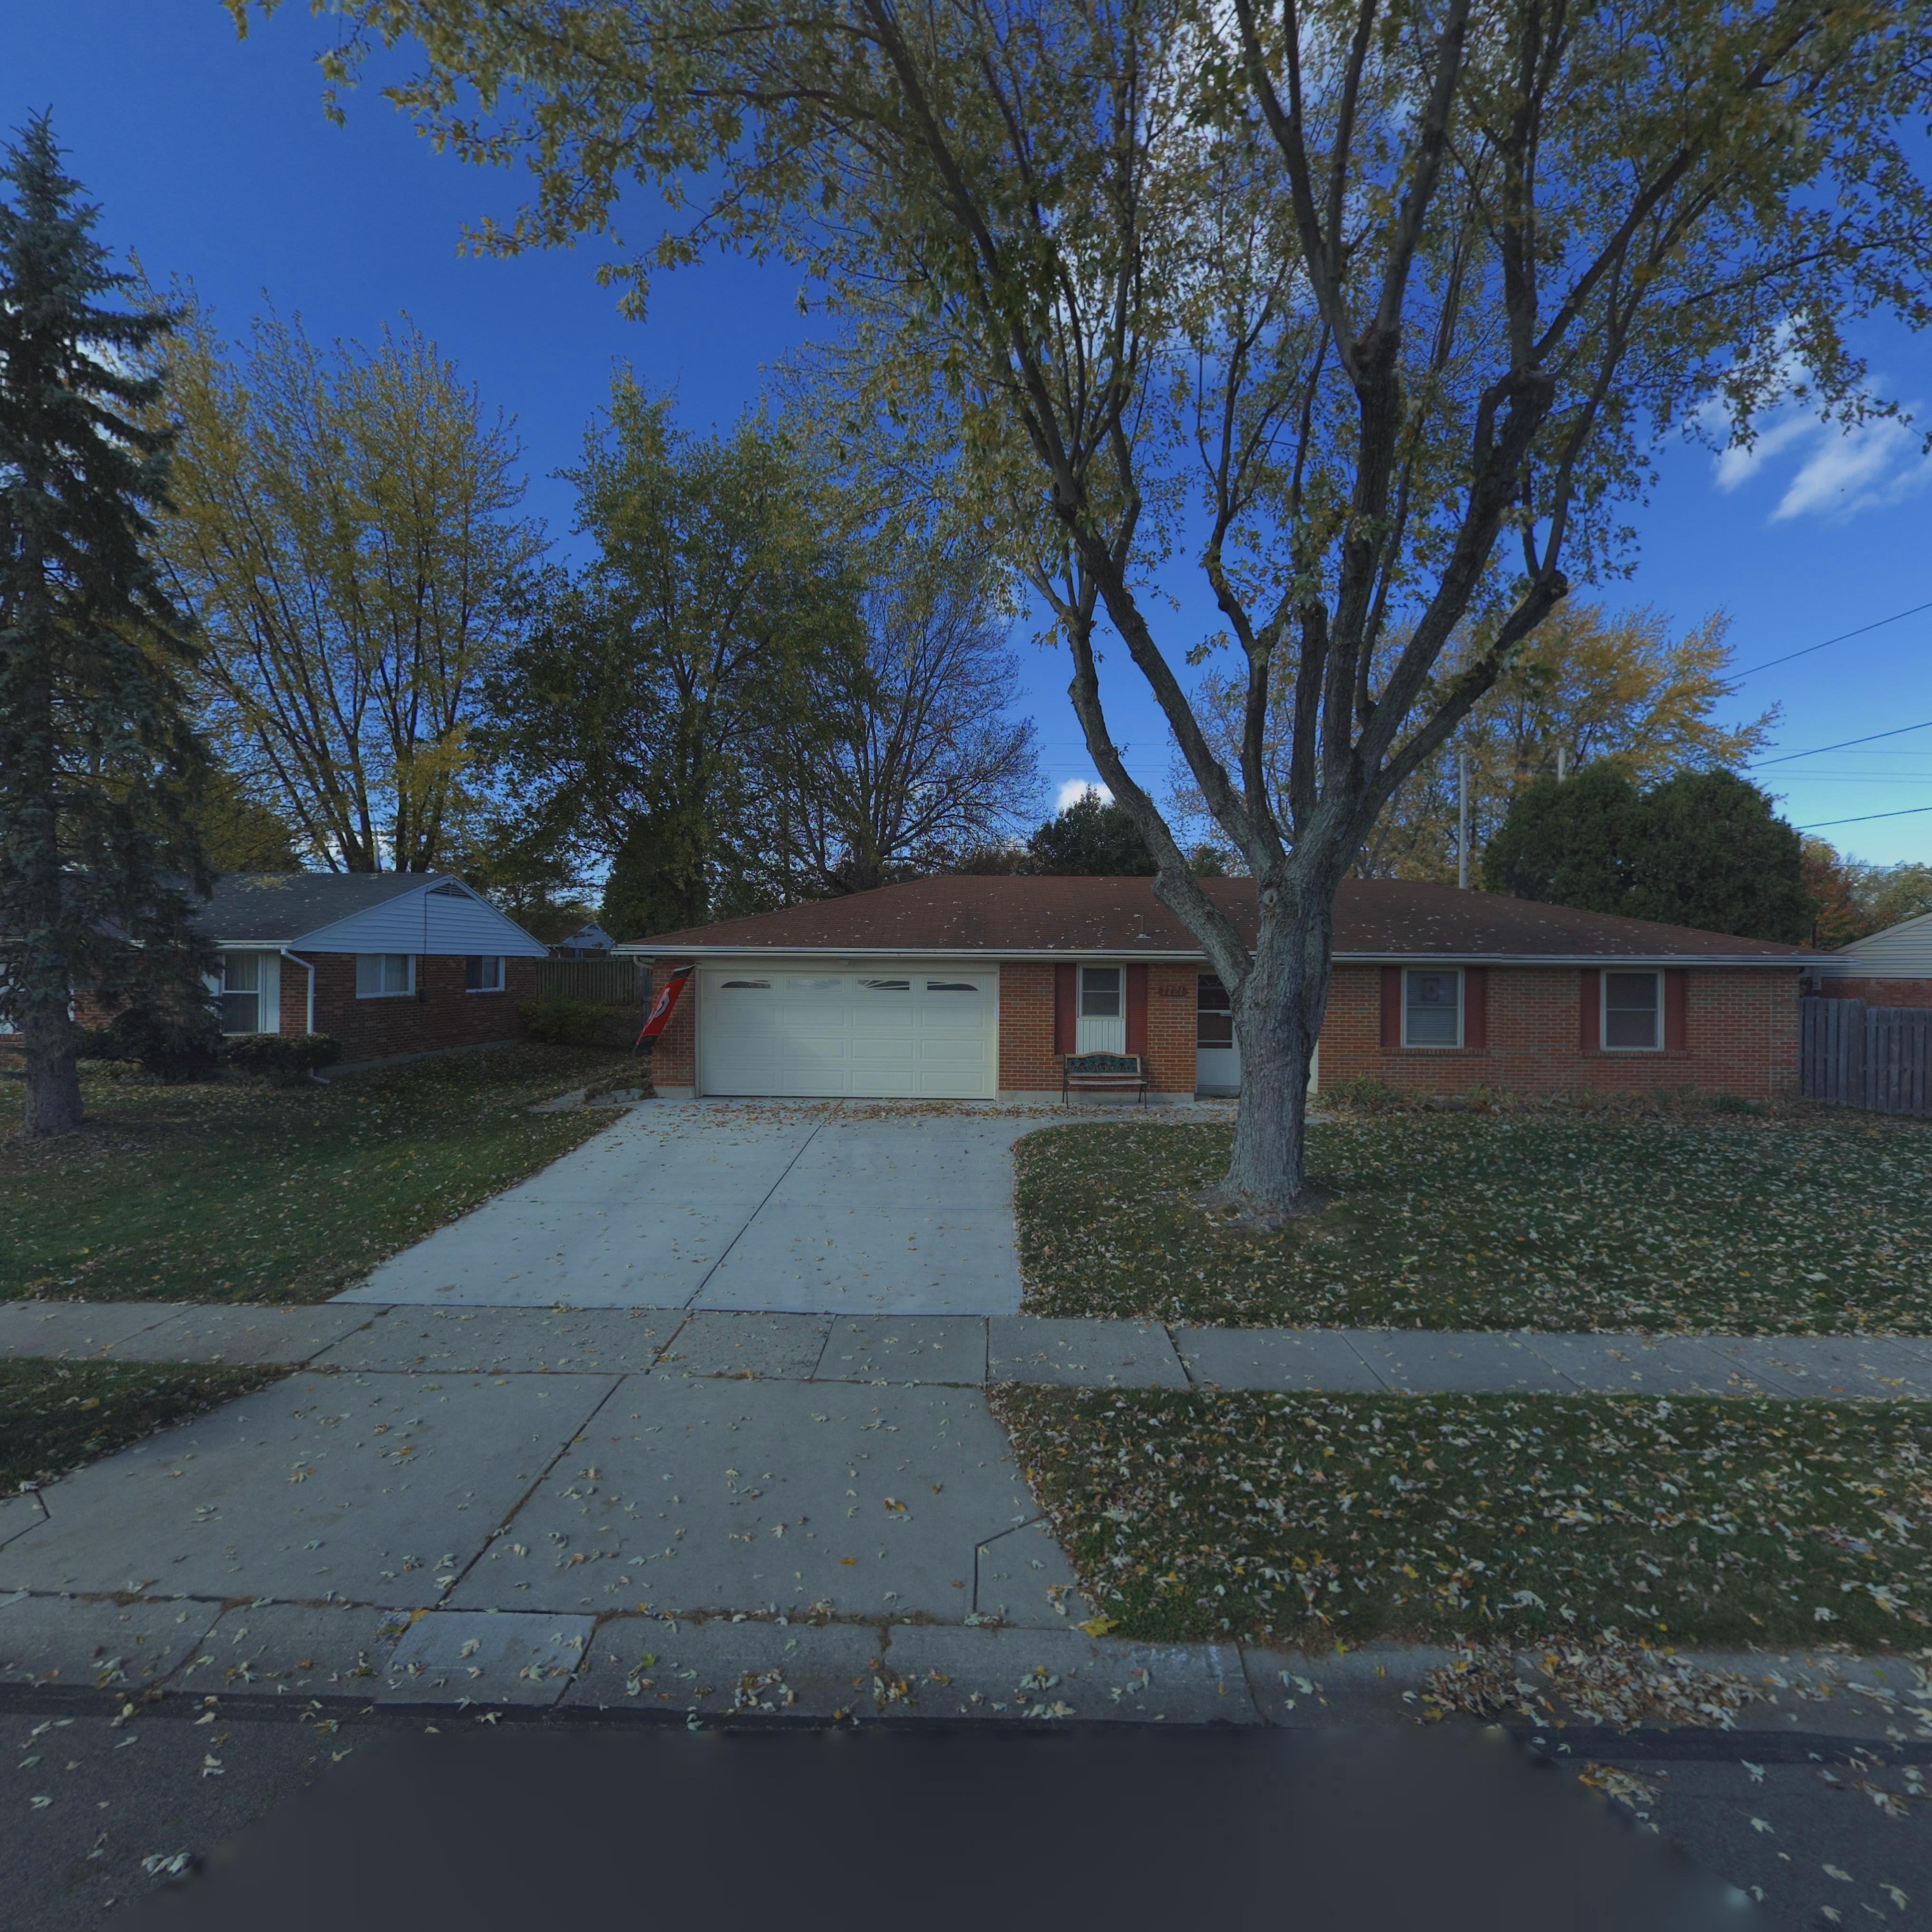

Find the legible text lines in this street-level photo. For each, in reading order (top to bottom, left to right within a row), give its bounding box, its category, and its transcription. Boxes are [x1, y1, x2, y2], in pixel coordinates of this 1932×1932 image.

[1160, 985, 1184, 996] StreetNumber: 7721